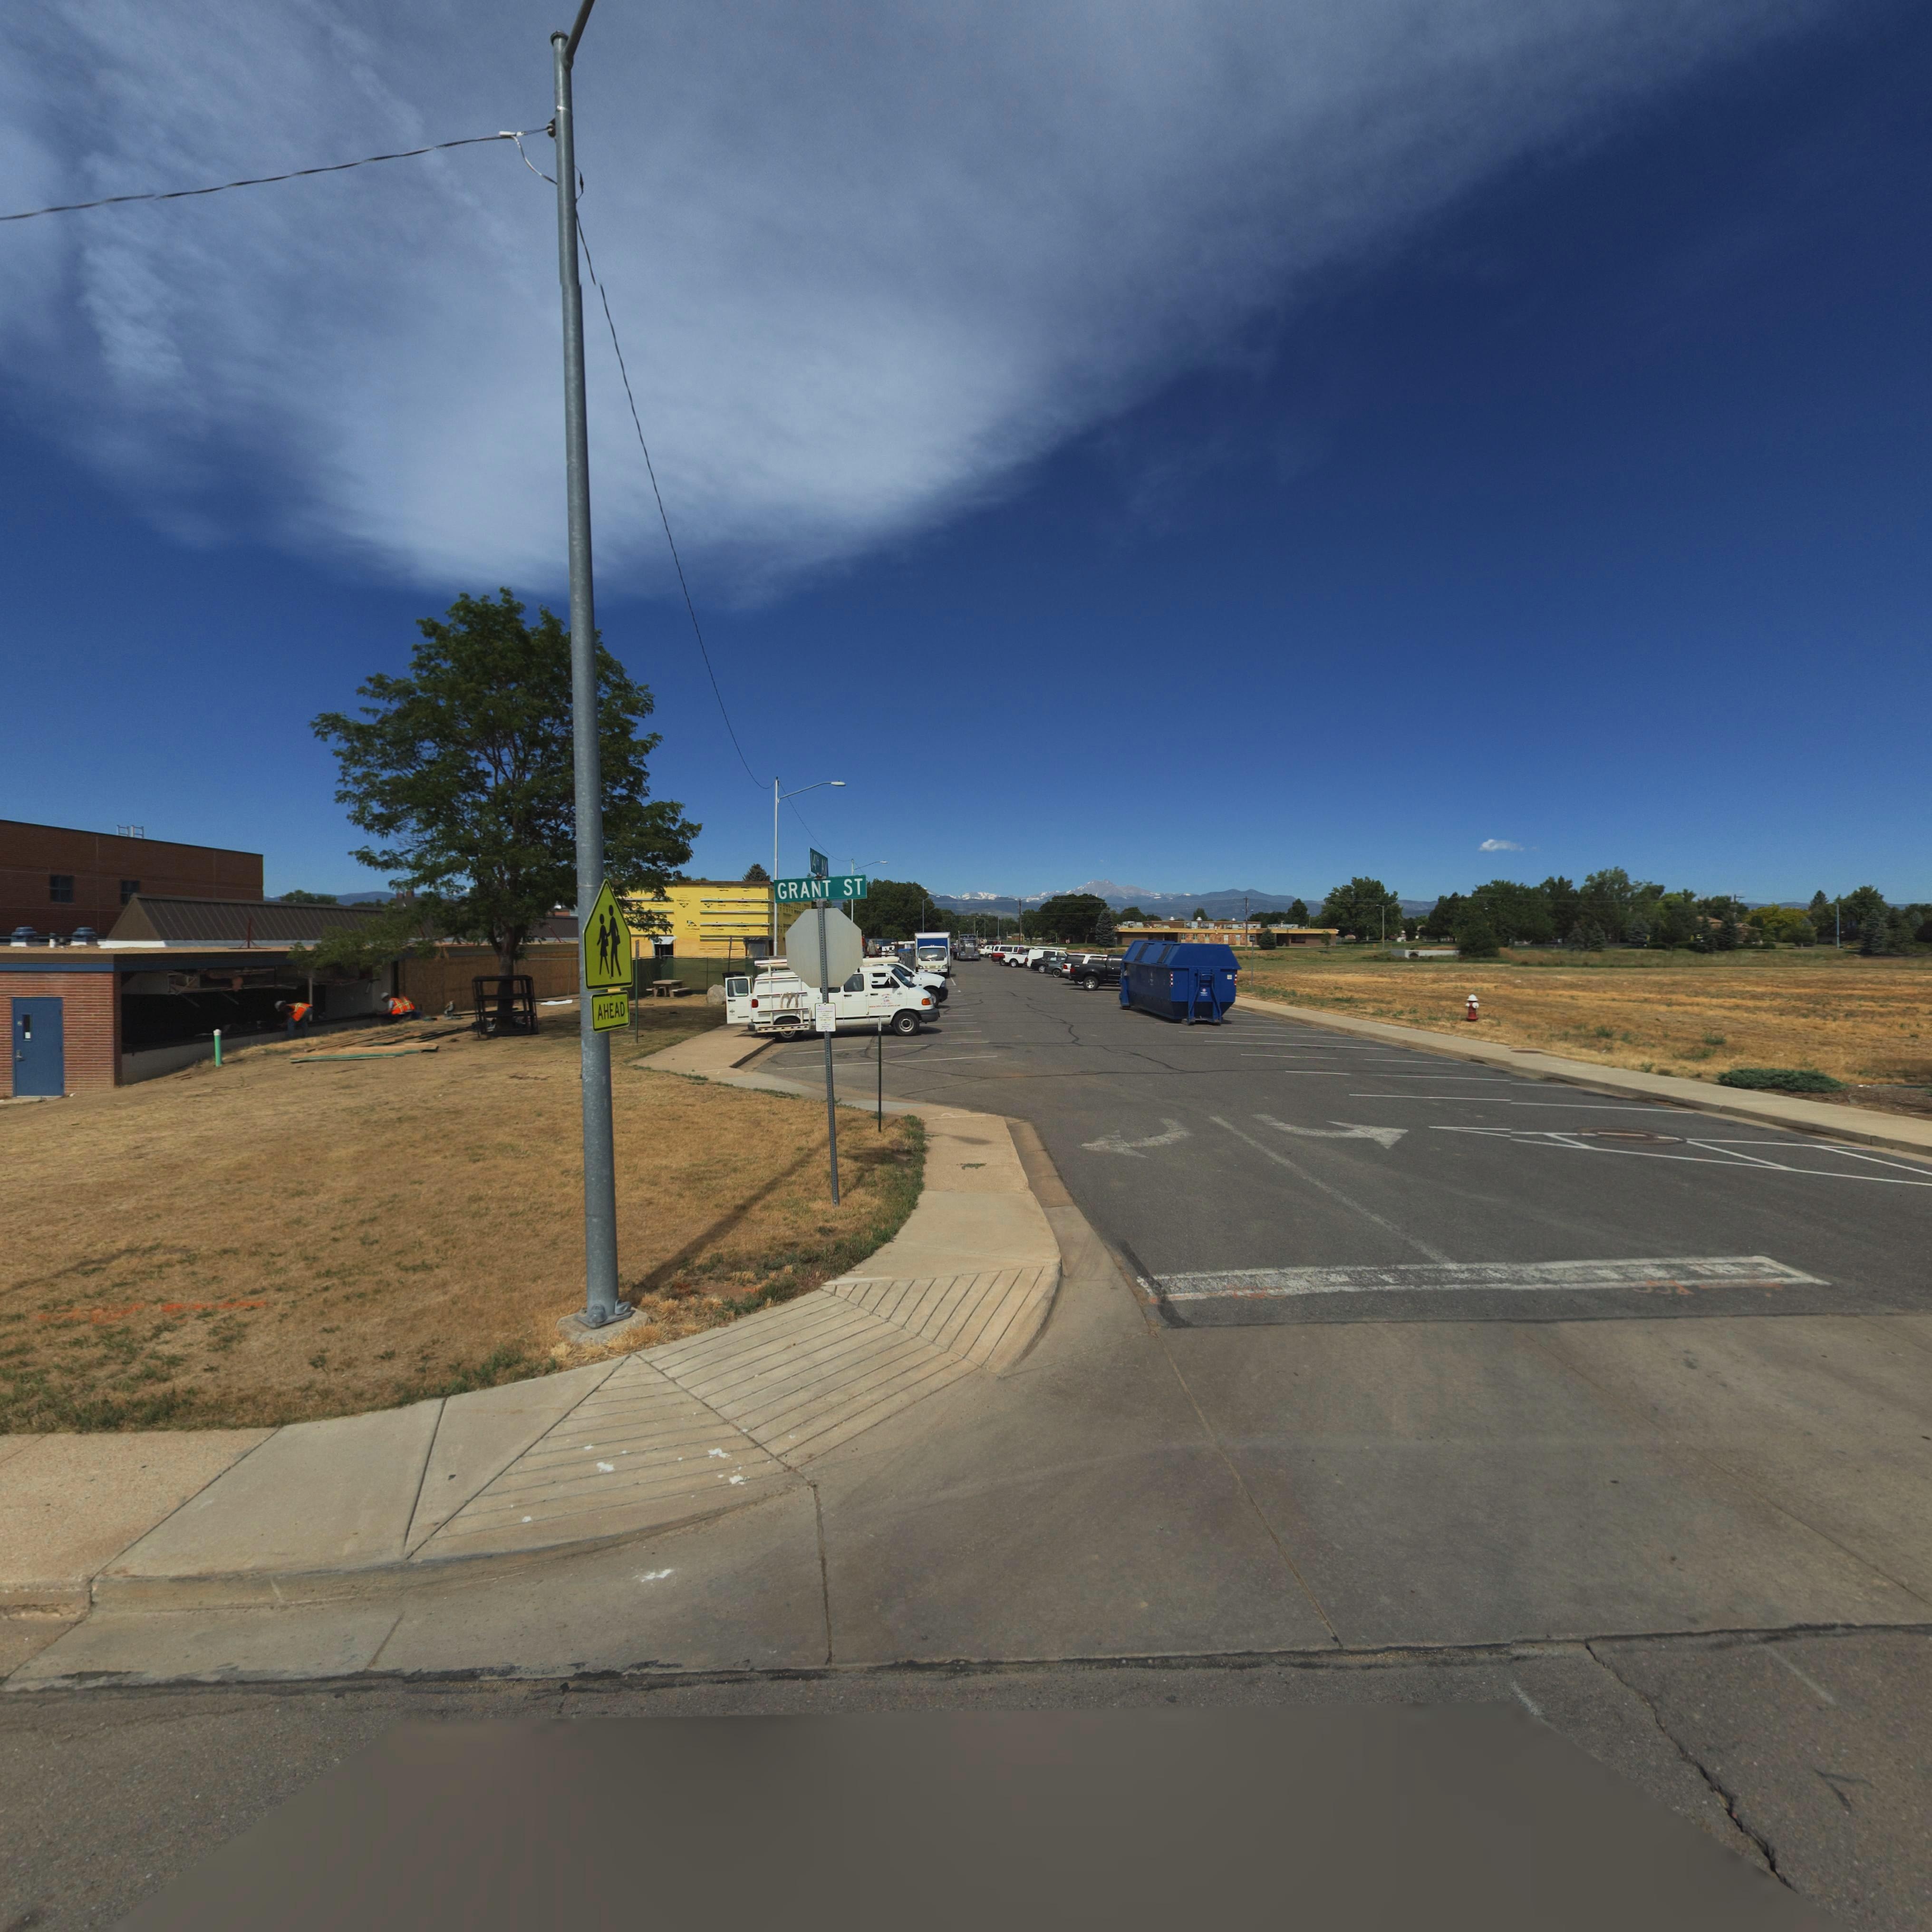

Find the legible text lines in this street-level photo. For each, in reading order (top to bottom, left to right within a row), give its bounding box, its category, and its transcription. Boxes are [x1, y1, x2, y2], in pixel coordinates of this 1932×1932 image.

[810, 851, 827, 876] StreetName: 14TH AV
[777, 877, 863, 899] StreetName: GRANT ST